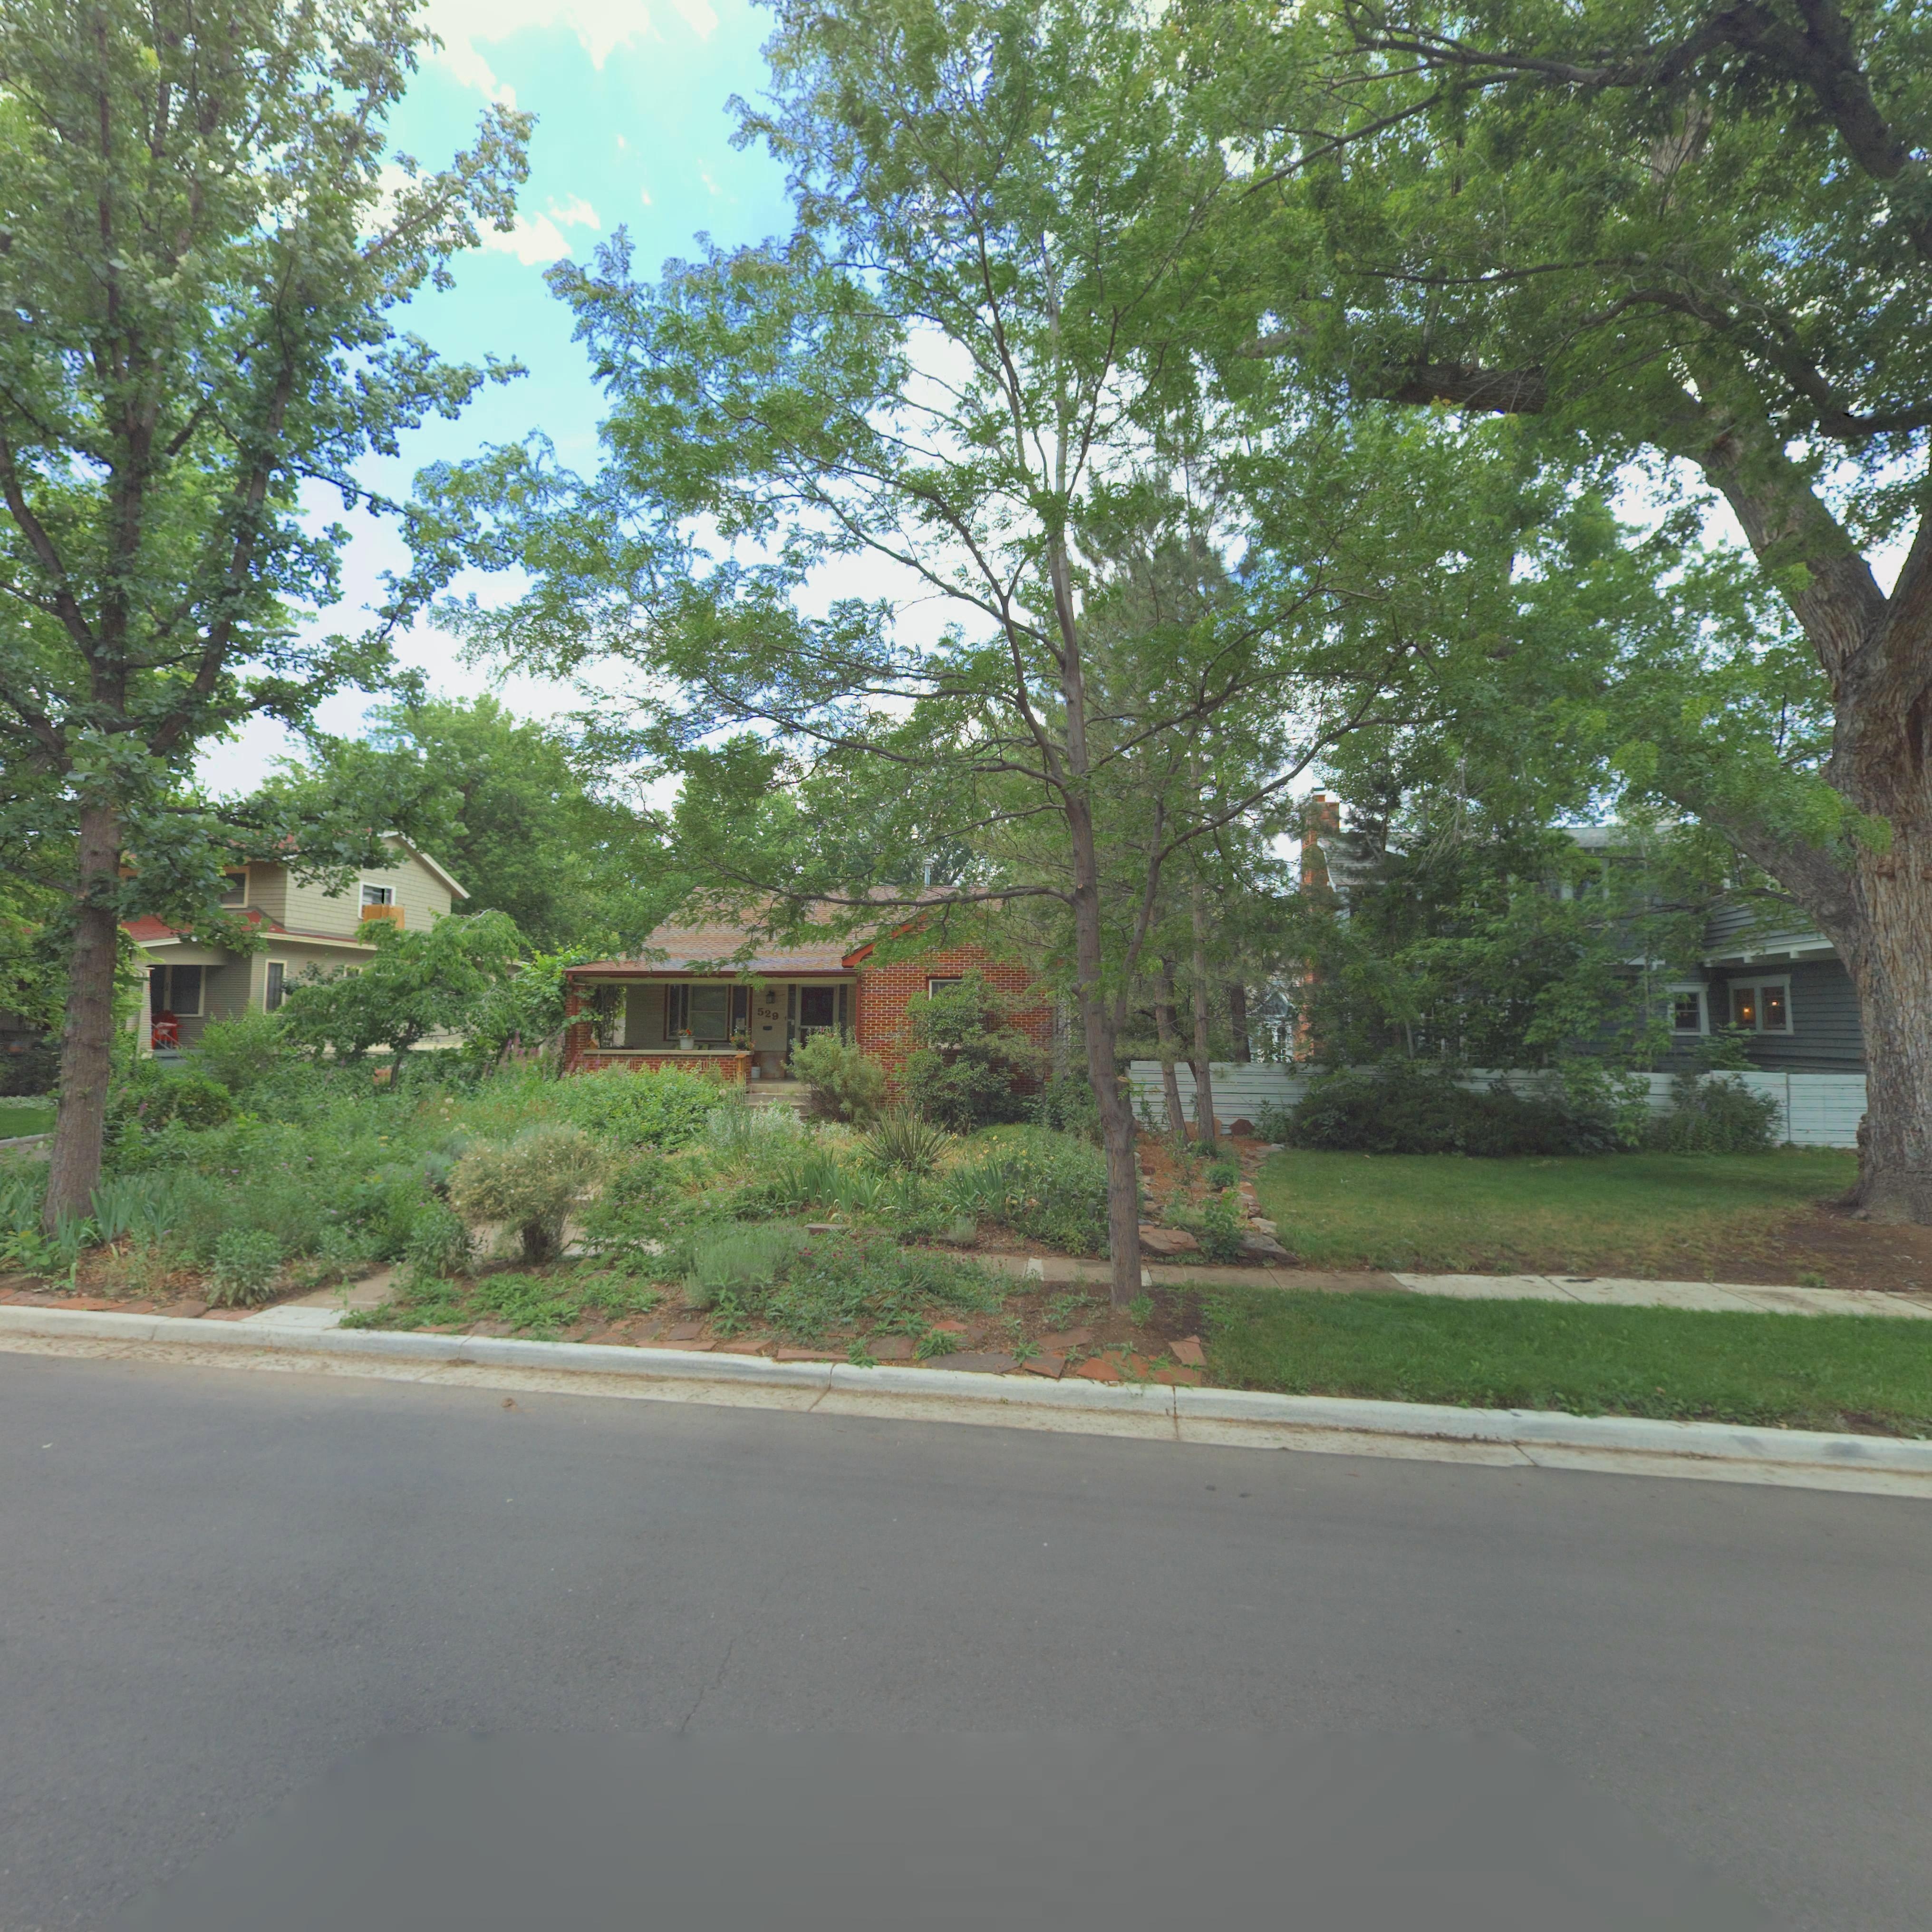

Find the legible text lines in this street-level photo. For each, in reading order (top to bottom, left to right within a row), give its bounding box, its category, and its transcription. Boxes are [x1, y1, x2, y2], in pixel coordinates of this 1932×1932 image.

[757, 1007, 779, 1021] StreetNumber: 529